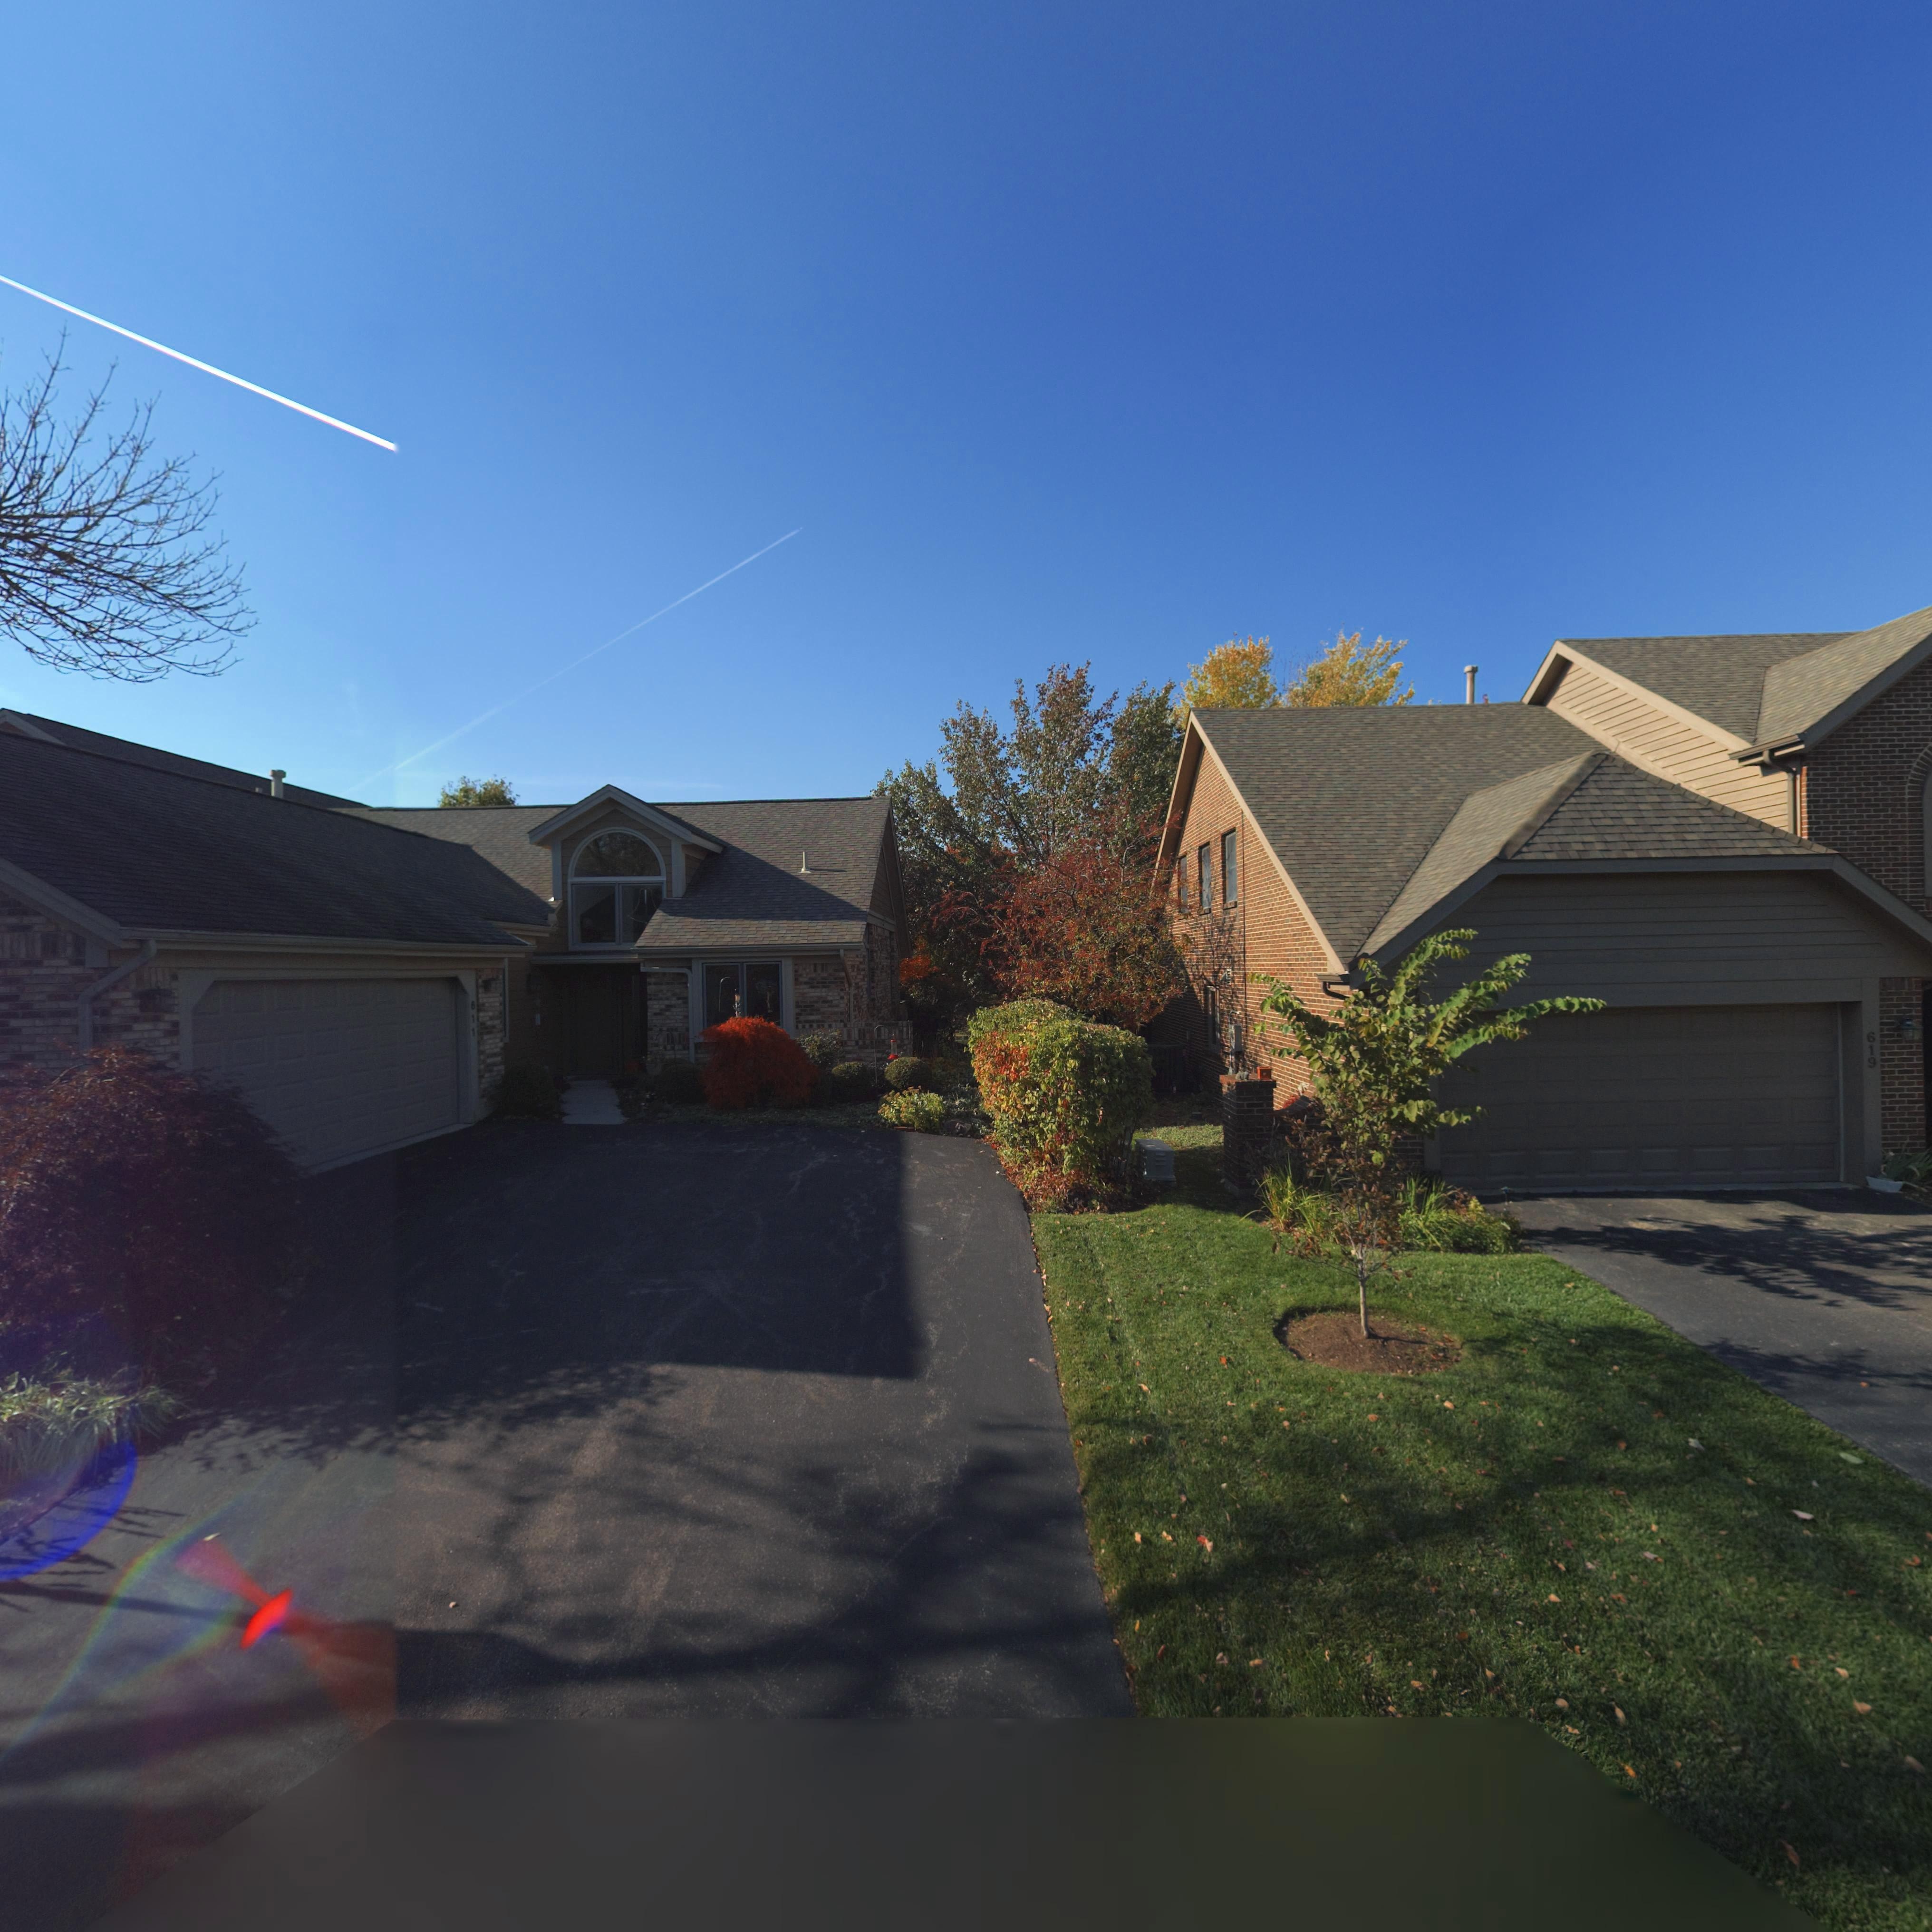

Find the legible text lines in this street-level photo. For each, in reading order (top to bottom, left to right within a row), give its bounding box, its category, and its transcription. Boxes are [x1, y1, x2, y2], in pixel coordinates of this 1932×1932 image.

[470, 999, 477, 1038] StreetNumber: 611
[1866, 1030, 1877, 1070] StreetNumber: 619